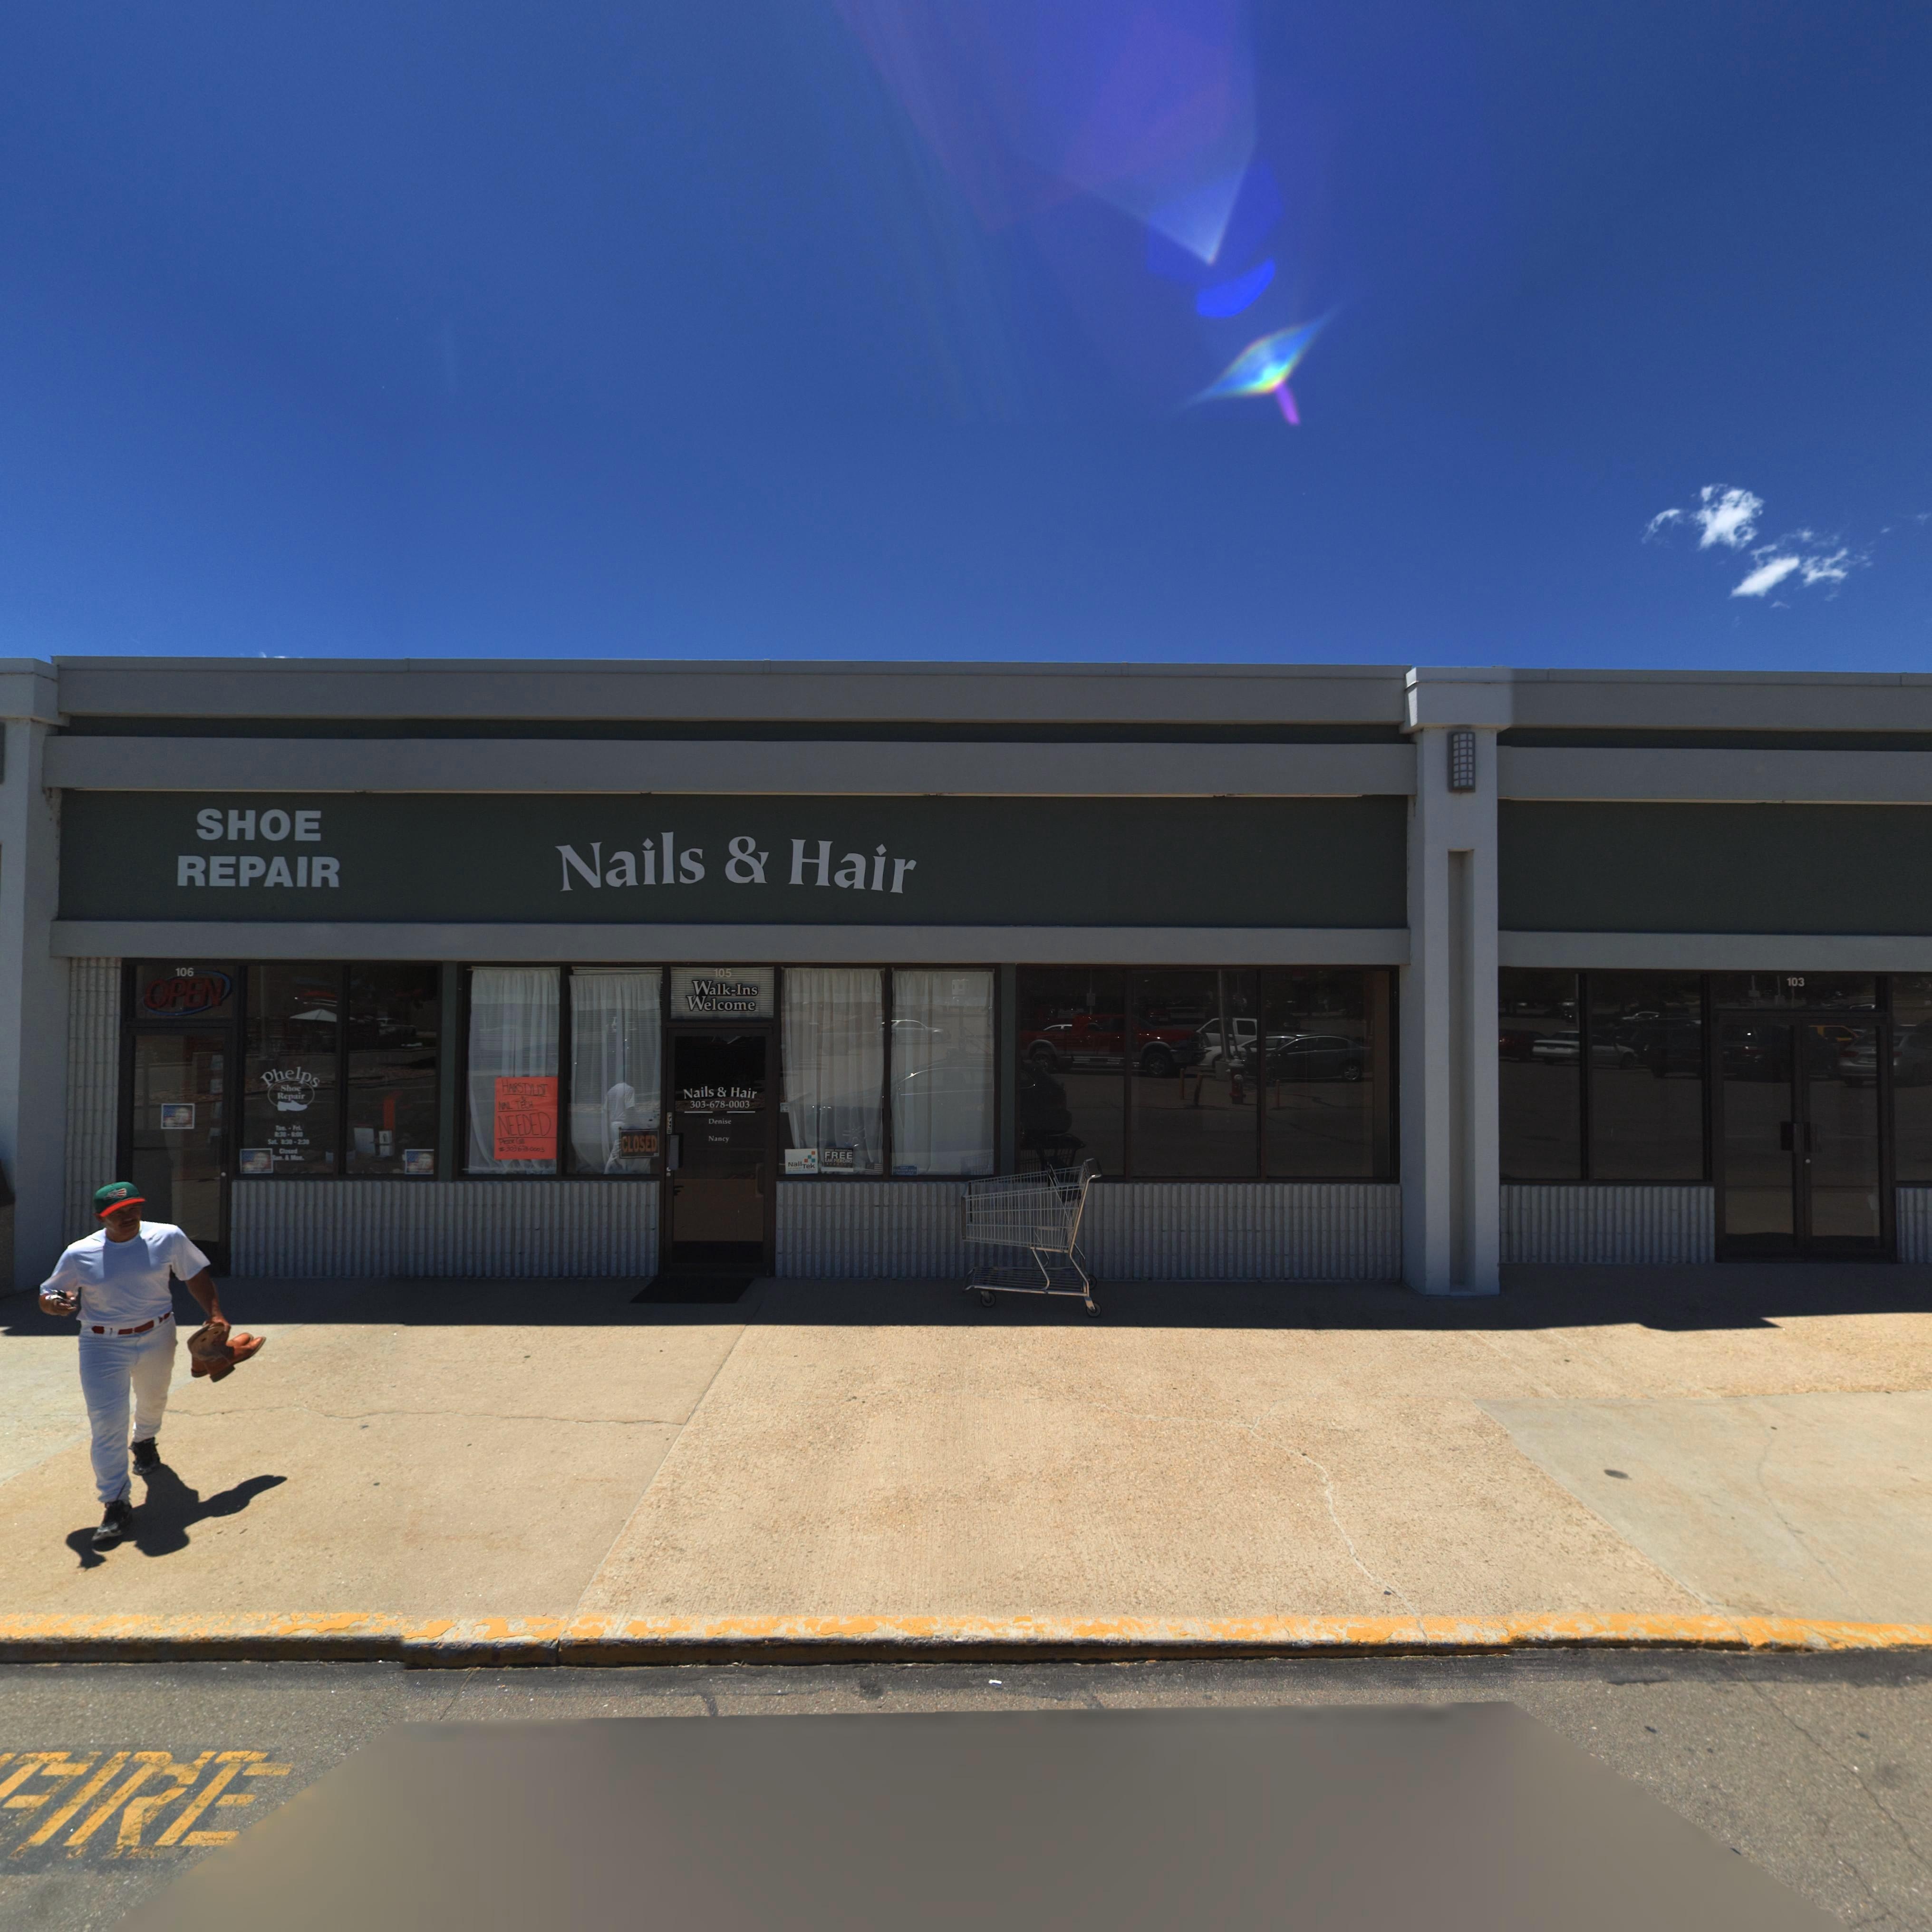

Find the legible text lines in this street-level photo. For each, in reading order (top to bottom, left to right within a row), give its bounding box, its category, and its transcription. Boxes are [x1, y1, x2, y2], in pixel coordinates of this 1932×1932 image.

[553, 831, 917, 894] BusinessName: Nails & Hair
[175, 967, 194, 977] StreetNumber: 106
[713, 968, 732, 977] StreetNumber: 105
[1786, 976, 1805, 986] StreetNumber: 103
[259, 1066, 320, 1089] BusinessName: Phelps
[280, 1084, 301, 1092] BusinessName: Shoe
[277, 1092, 306, 1101] BusinessName: Repair
[683, 1085, 757, 1099] BusinessName: Nails & Hair